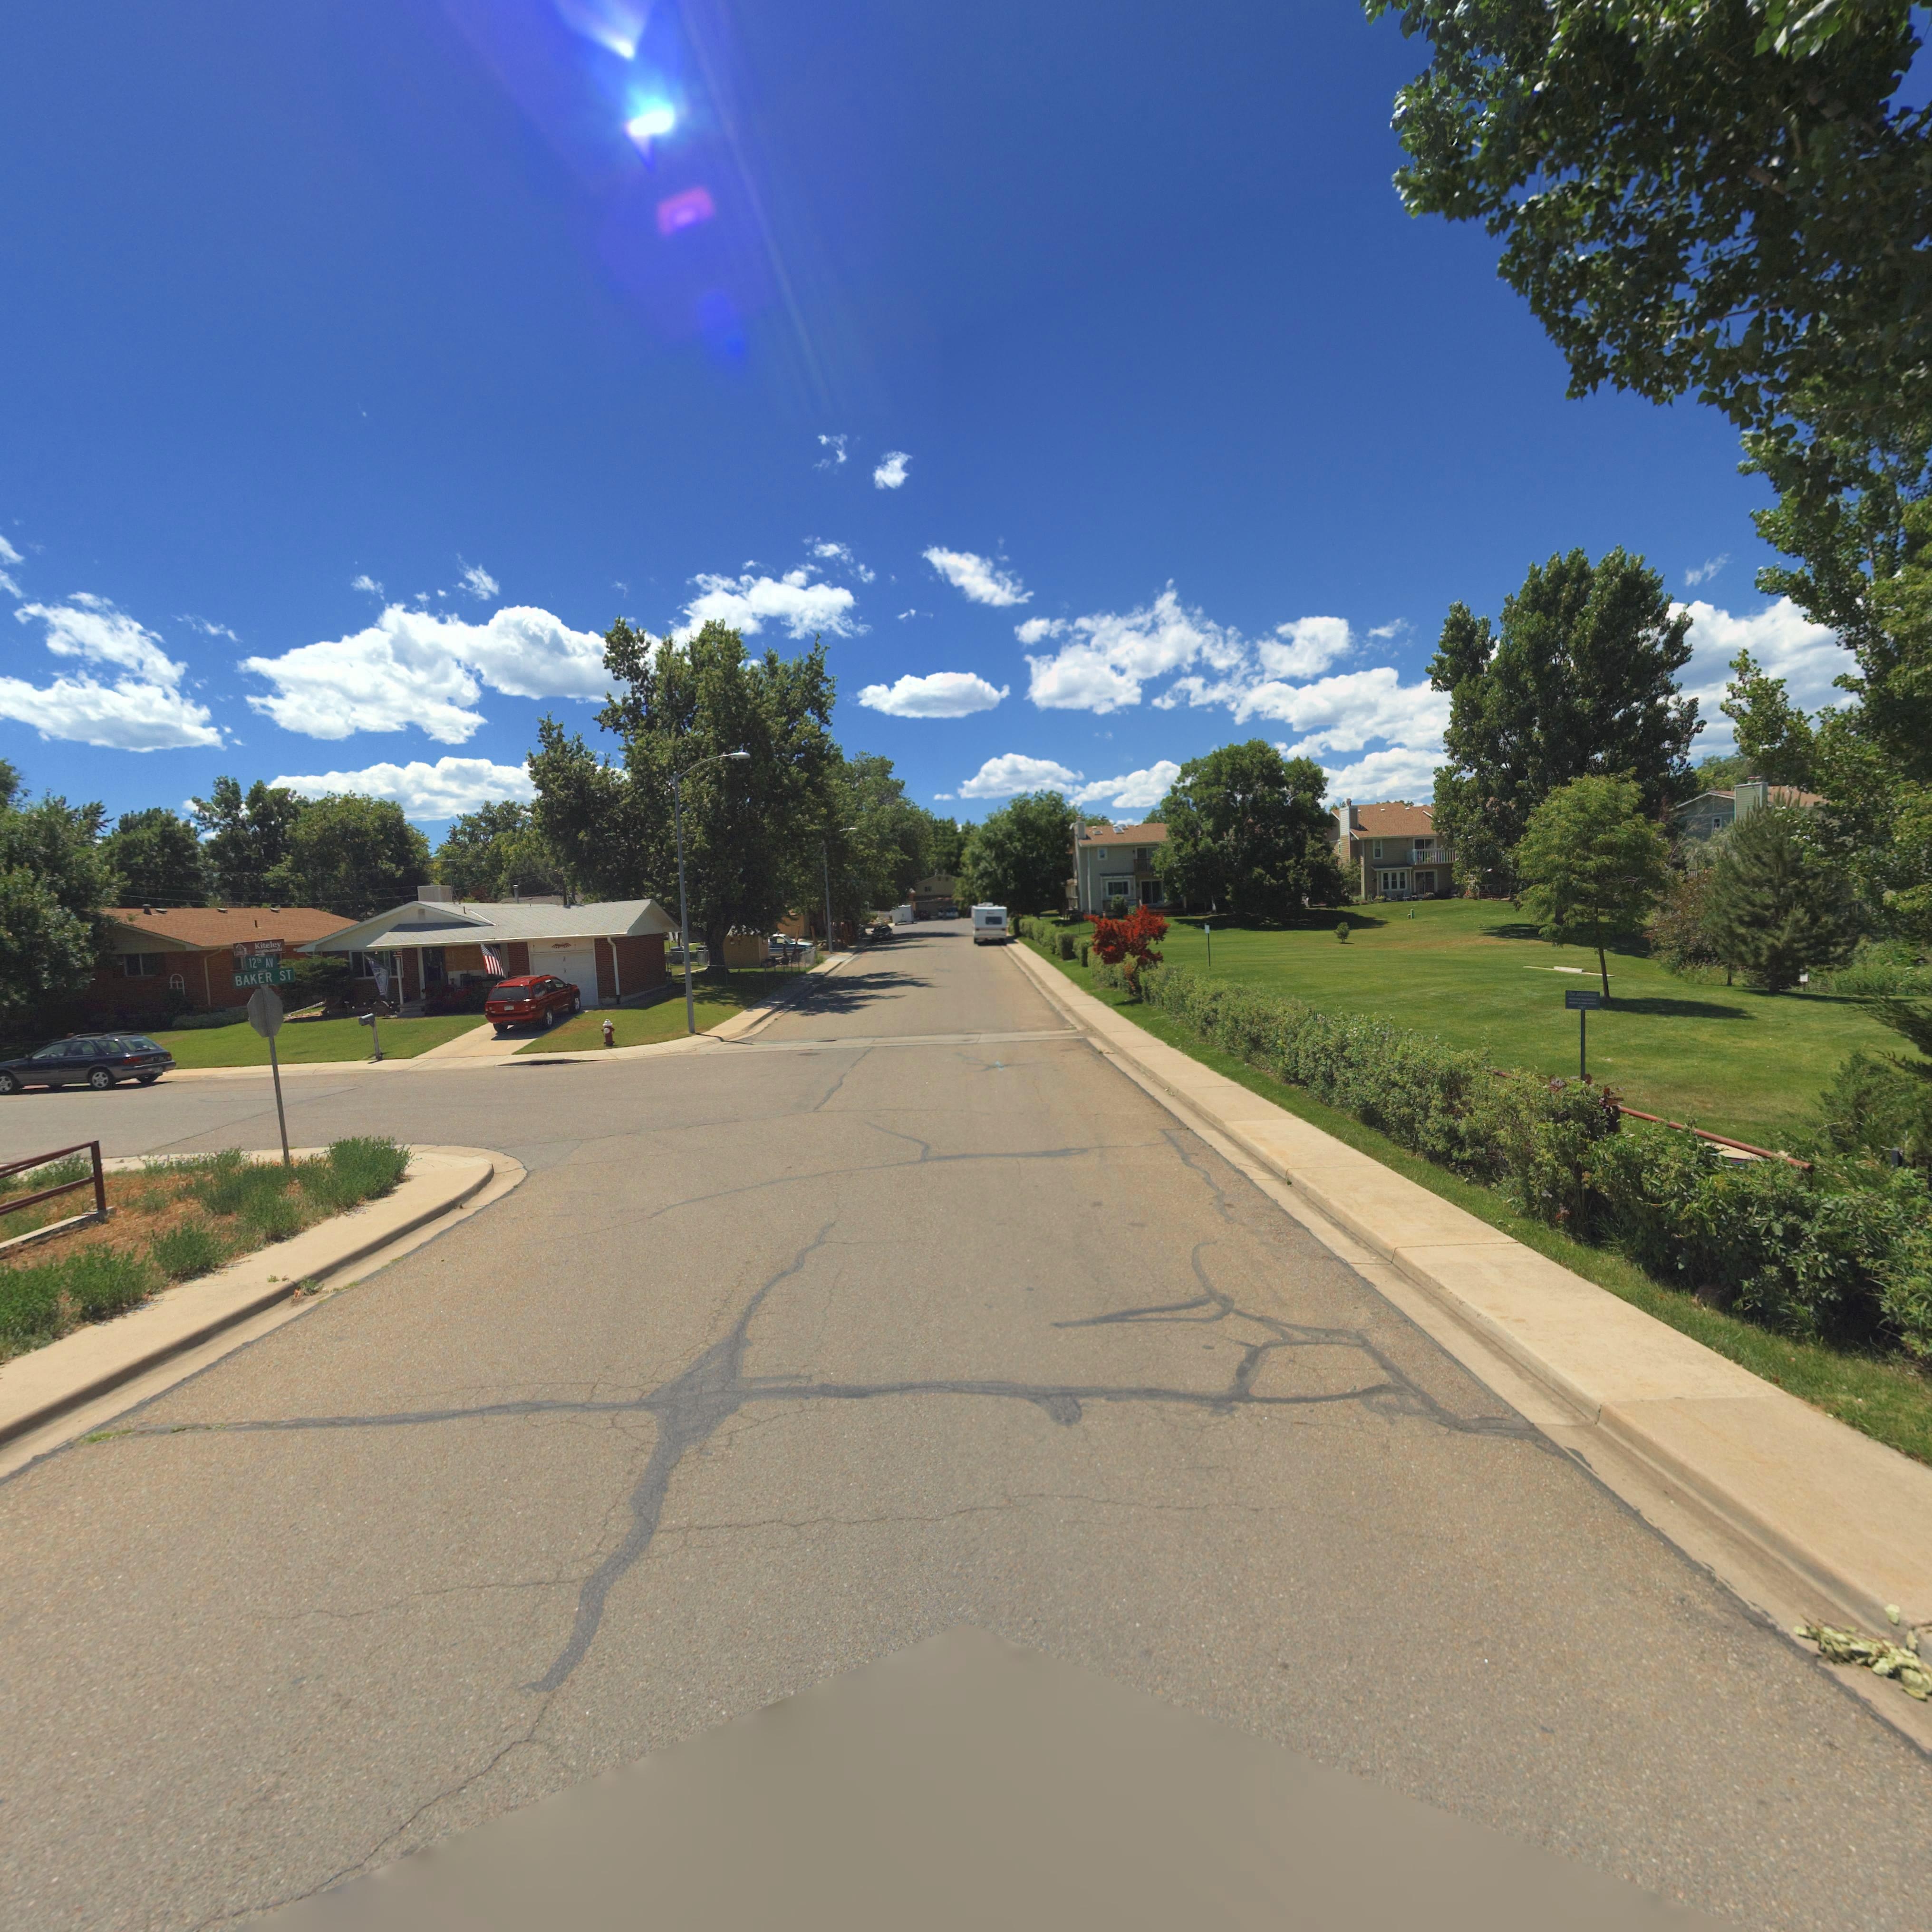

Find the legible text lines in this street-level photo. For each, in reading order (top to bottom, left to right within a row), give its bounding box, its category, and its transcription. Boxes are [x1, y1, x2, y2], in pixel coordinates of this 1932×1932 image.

[248, 957, 273, 968] StreetName: 12TH AV
[235, 969, 291, 986] StreetName: BAKER ST